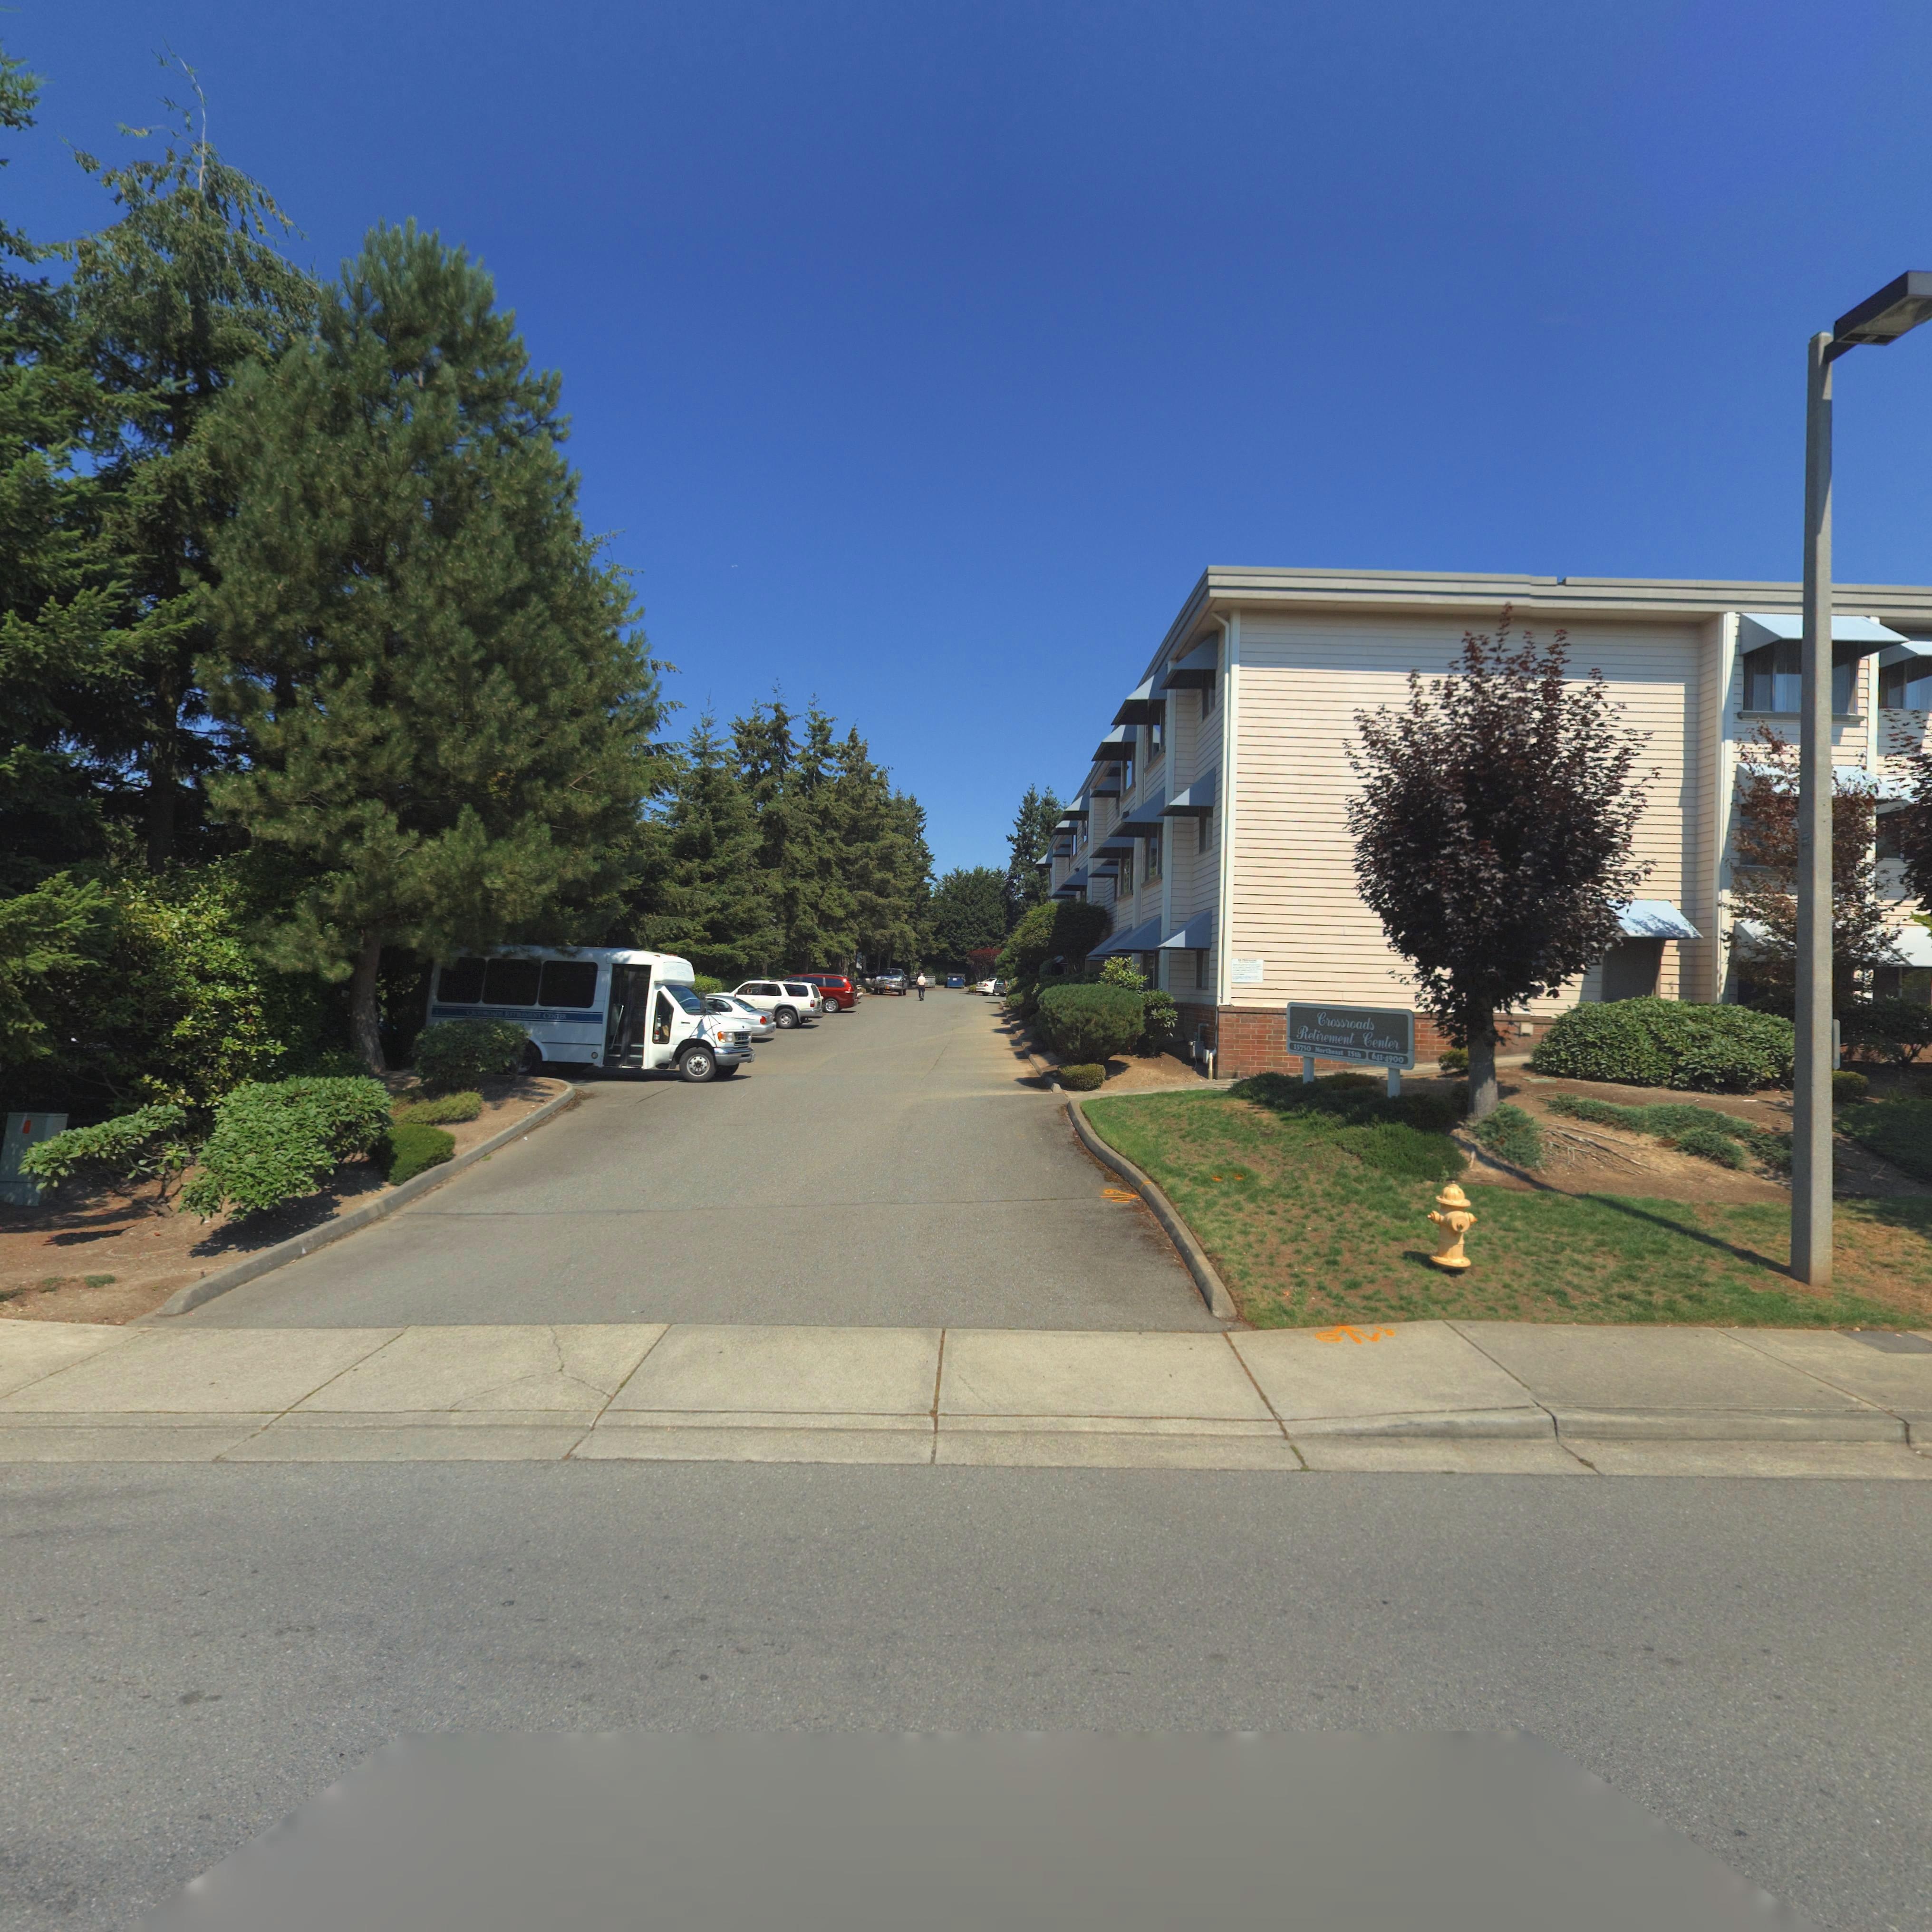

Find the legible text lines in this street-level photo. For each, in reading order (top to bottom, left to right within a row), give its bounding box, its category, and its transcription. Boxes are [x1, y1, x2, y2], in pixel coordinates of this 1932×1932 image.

[1317, 1011, 1374, 1030] None: Crossroads
[1296, 1025, 1400, 1050] BusinessName: Retirement Center
[1293, 1044, 1311, 1051] StreetNumber: 157050
[1314, 1046, 1361, 1058] StreetName: Northeast 15th
[1371, 1052, 1404, 1063] None: 641-4900